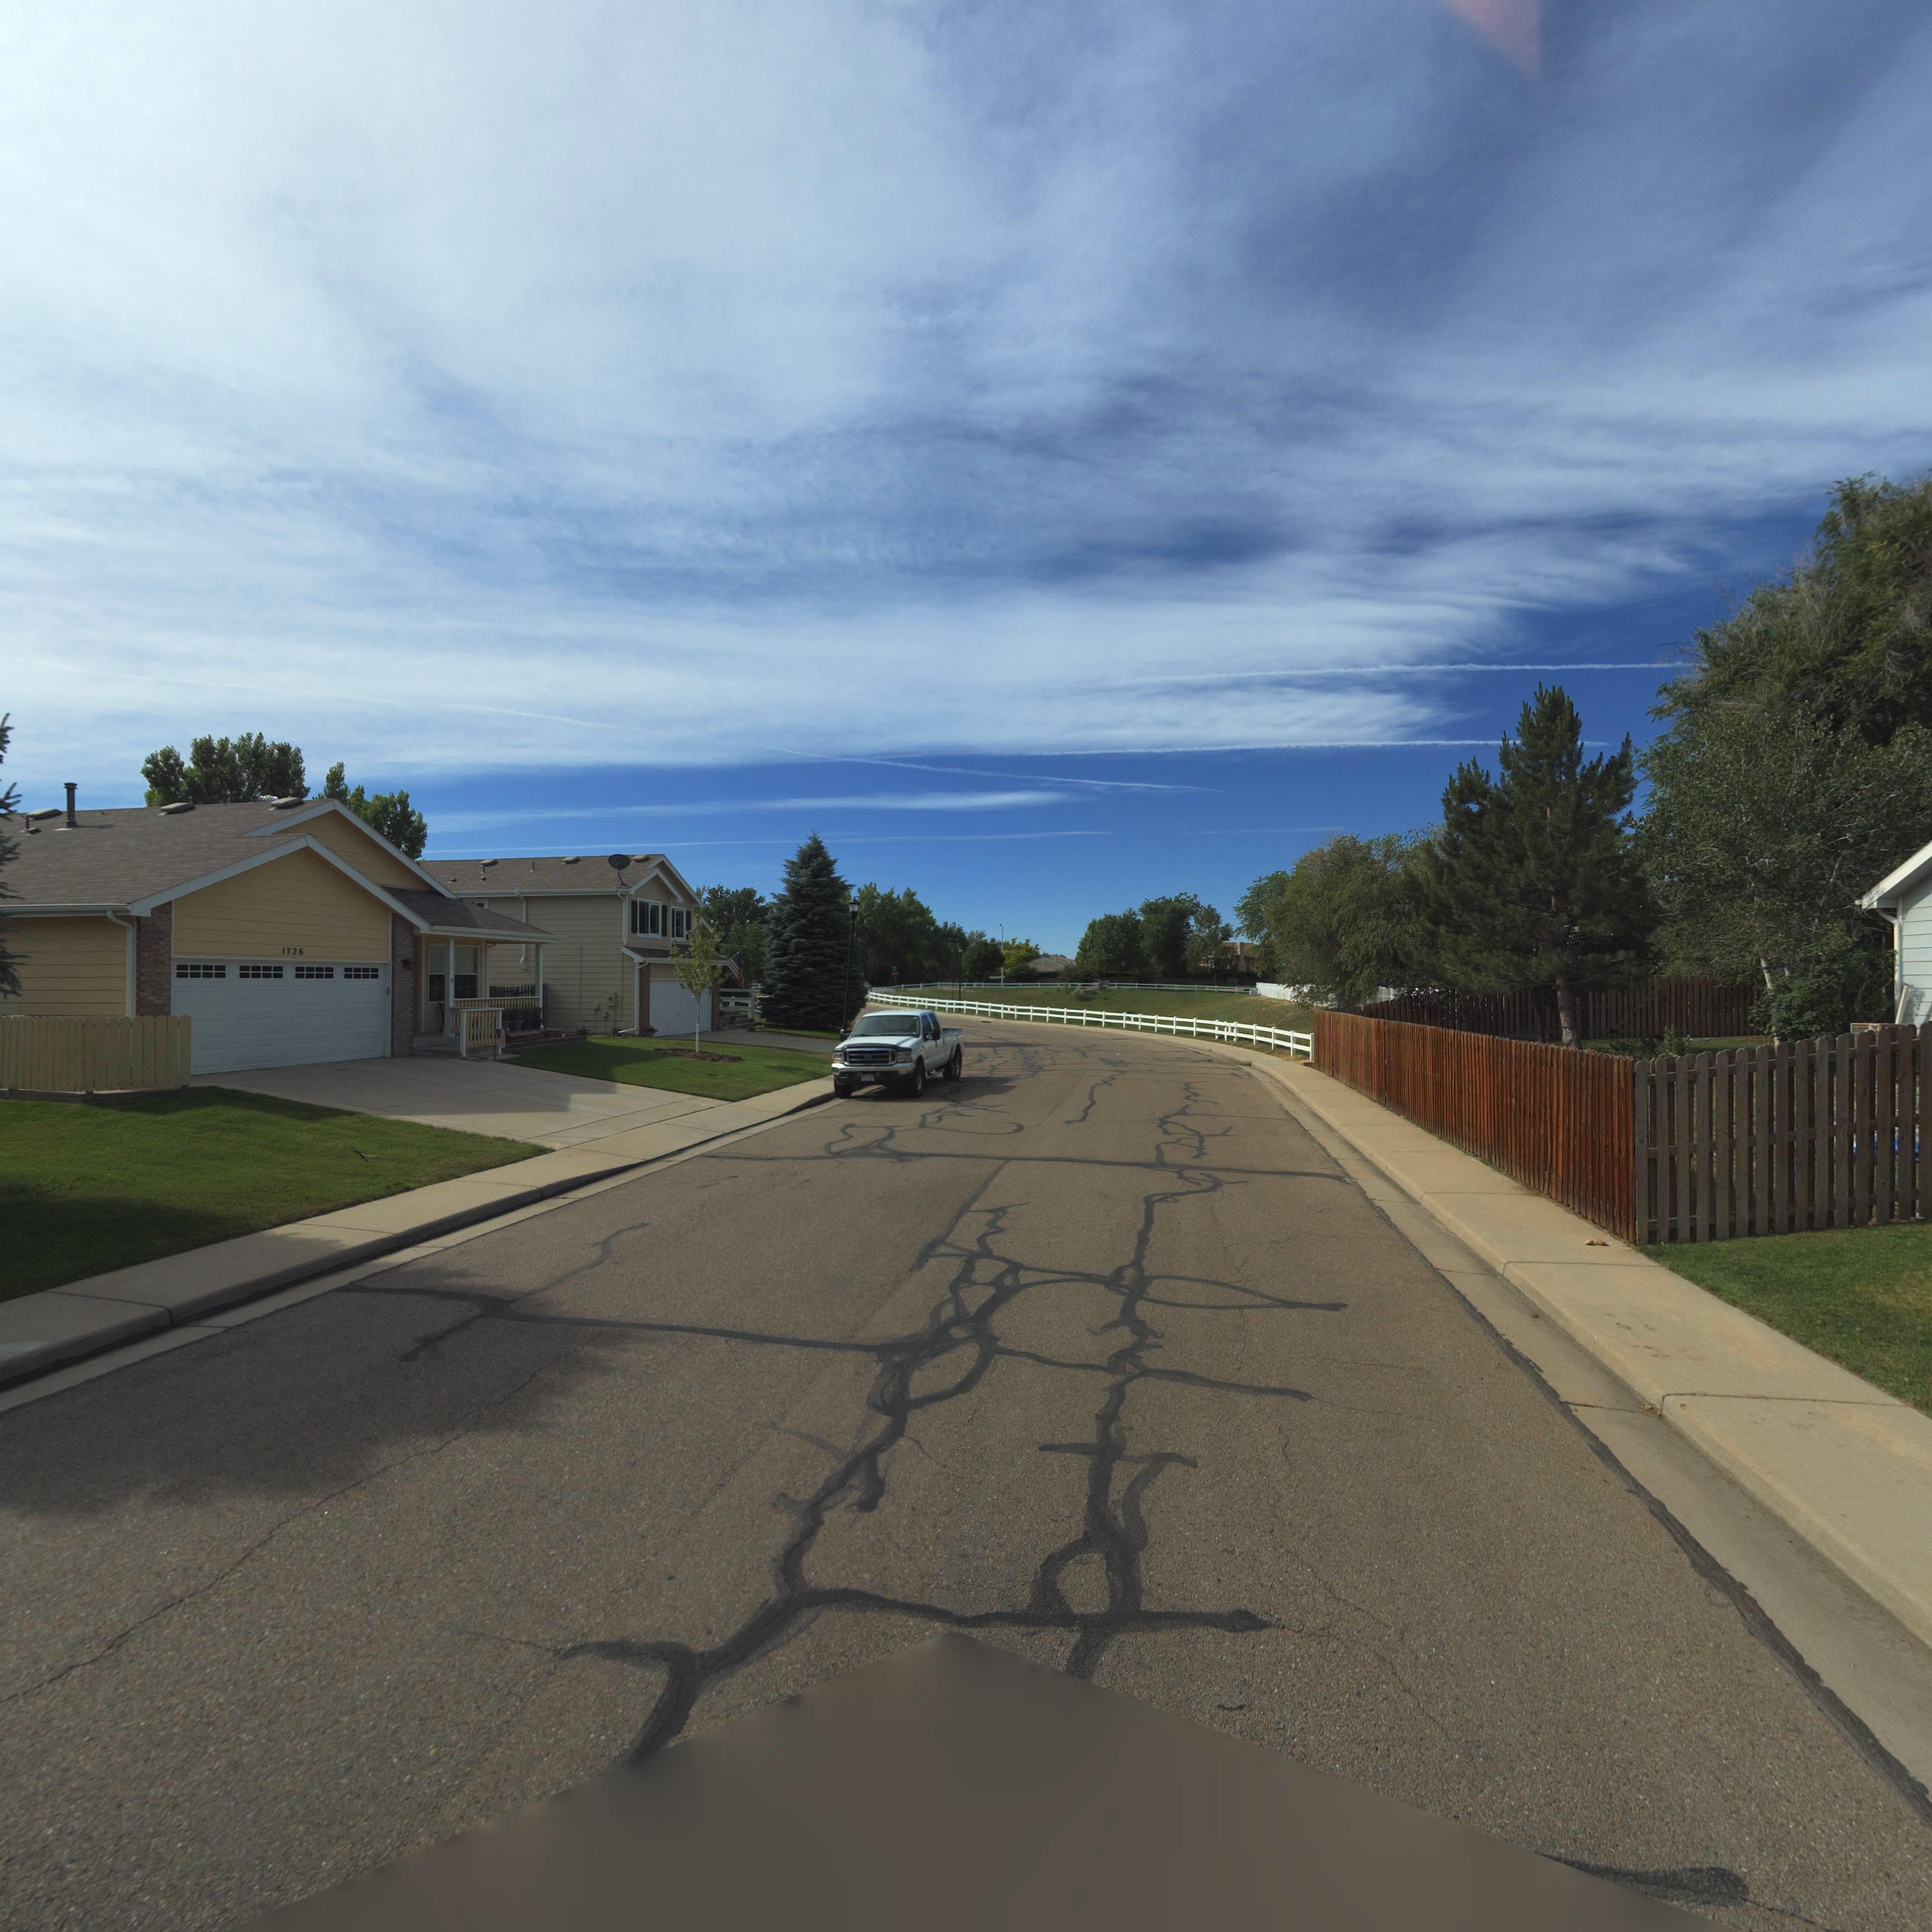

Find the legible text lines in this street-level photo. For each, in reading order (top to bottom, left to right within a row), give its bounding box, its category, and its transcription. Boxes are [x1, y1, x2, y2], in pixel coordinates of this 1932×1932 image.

[281, 947, 304, 955] StreetNumber: 1726